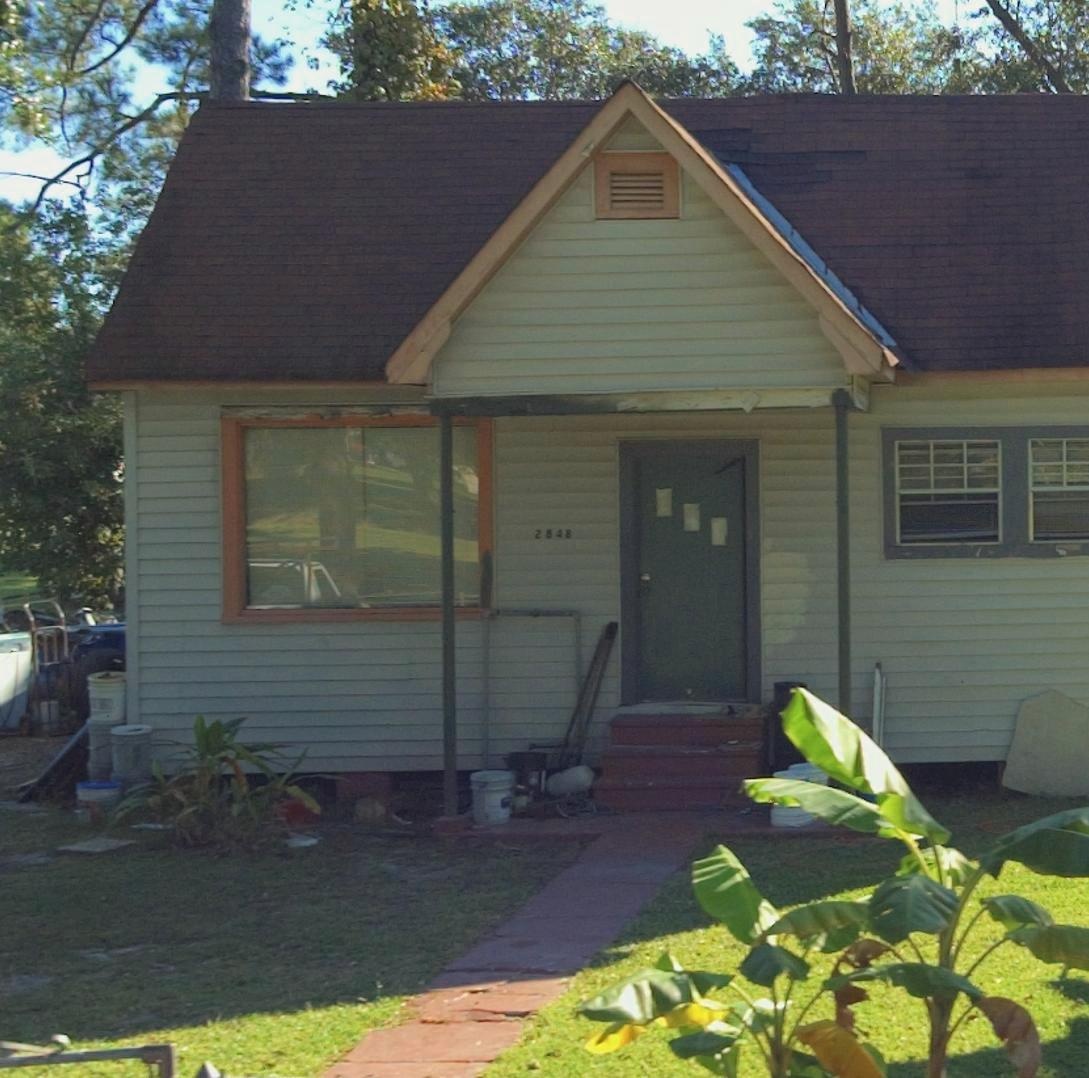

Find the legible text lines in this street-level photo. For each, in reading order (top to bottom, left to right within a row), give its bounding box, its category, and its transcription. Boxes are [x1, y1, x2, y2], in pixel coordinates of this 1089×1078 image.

[533, 526, 574, 542] StreetNumber: 2848